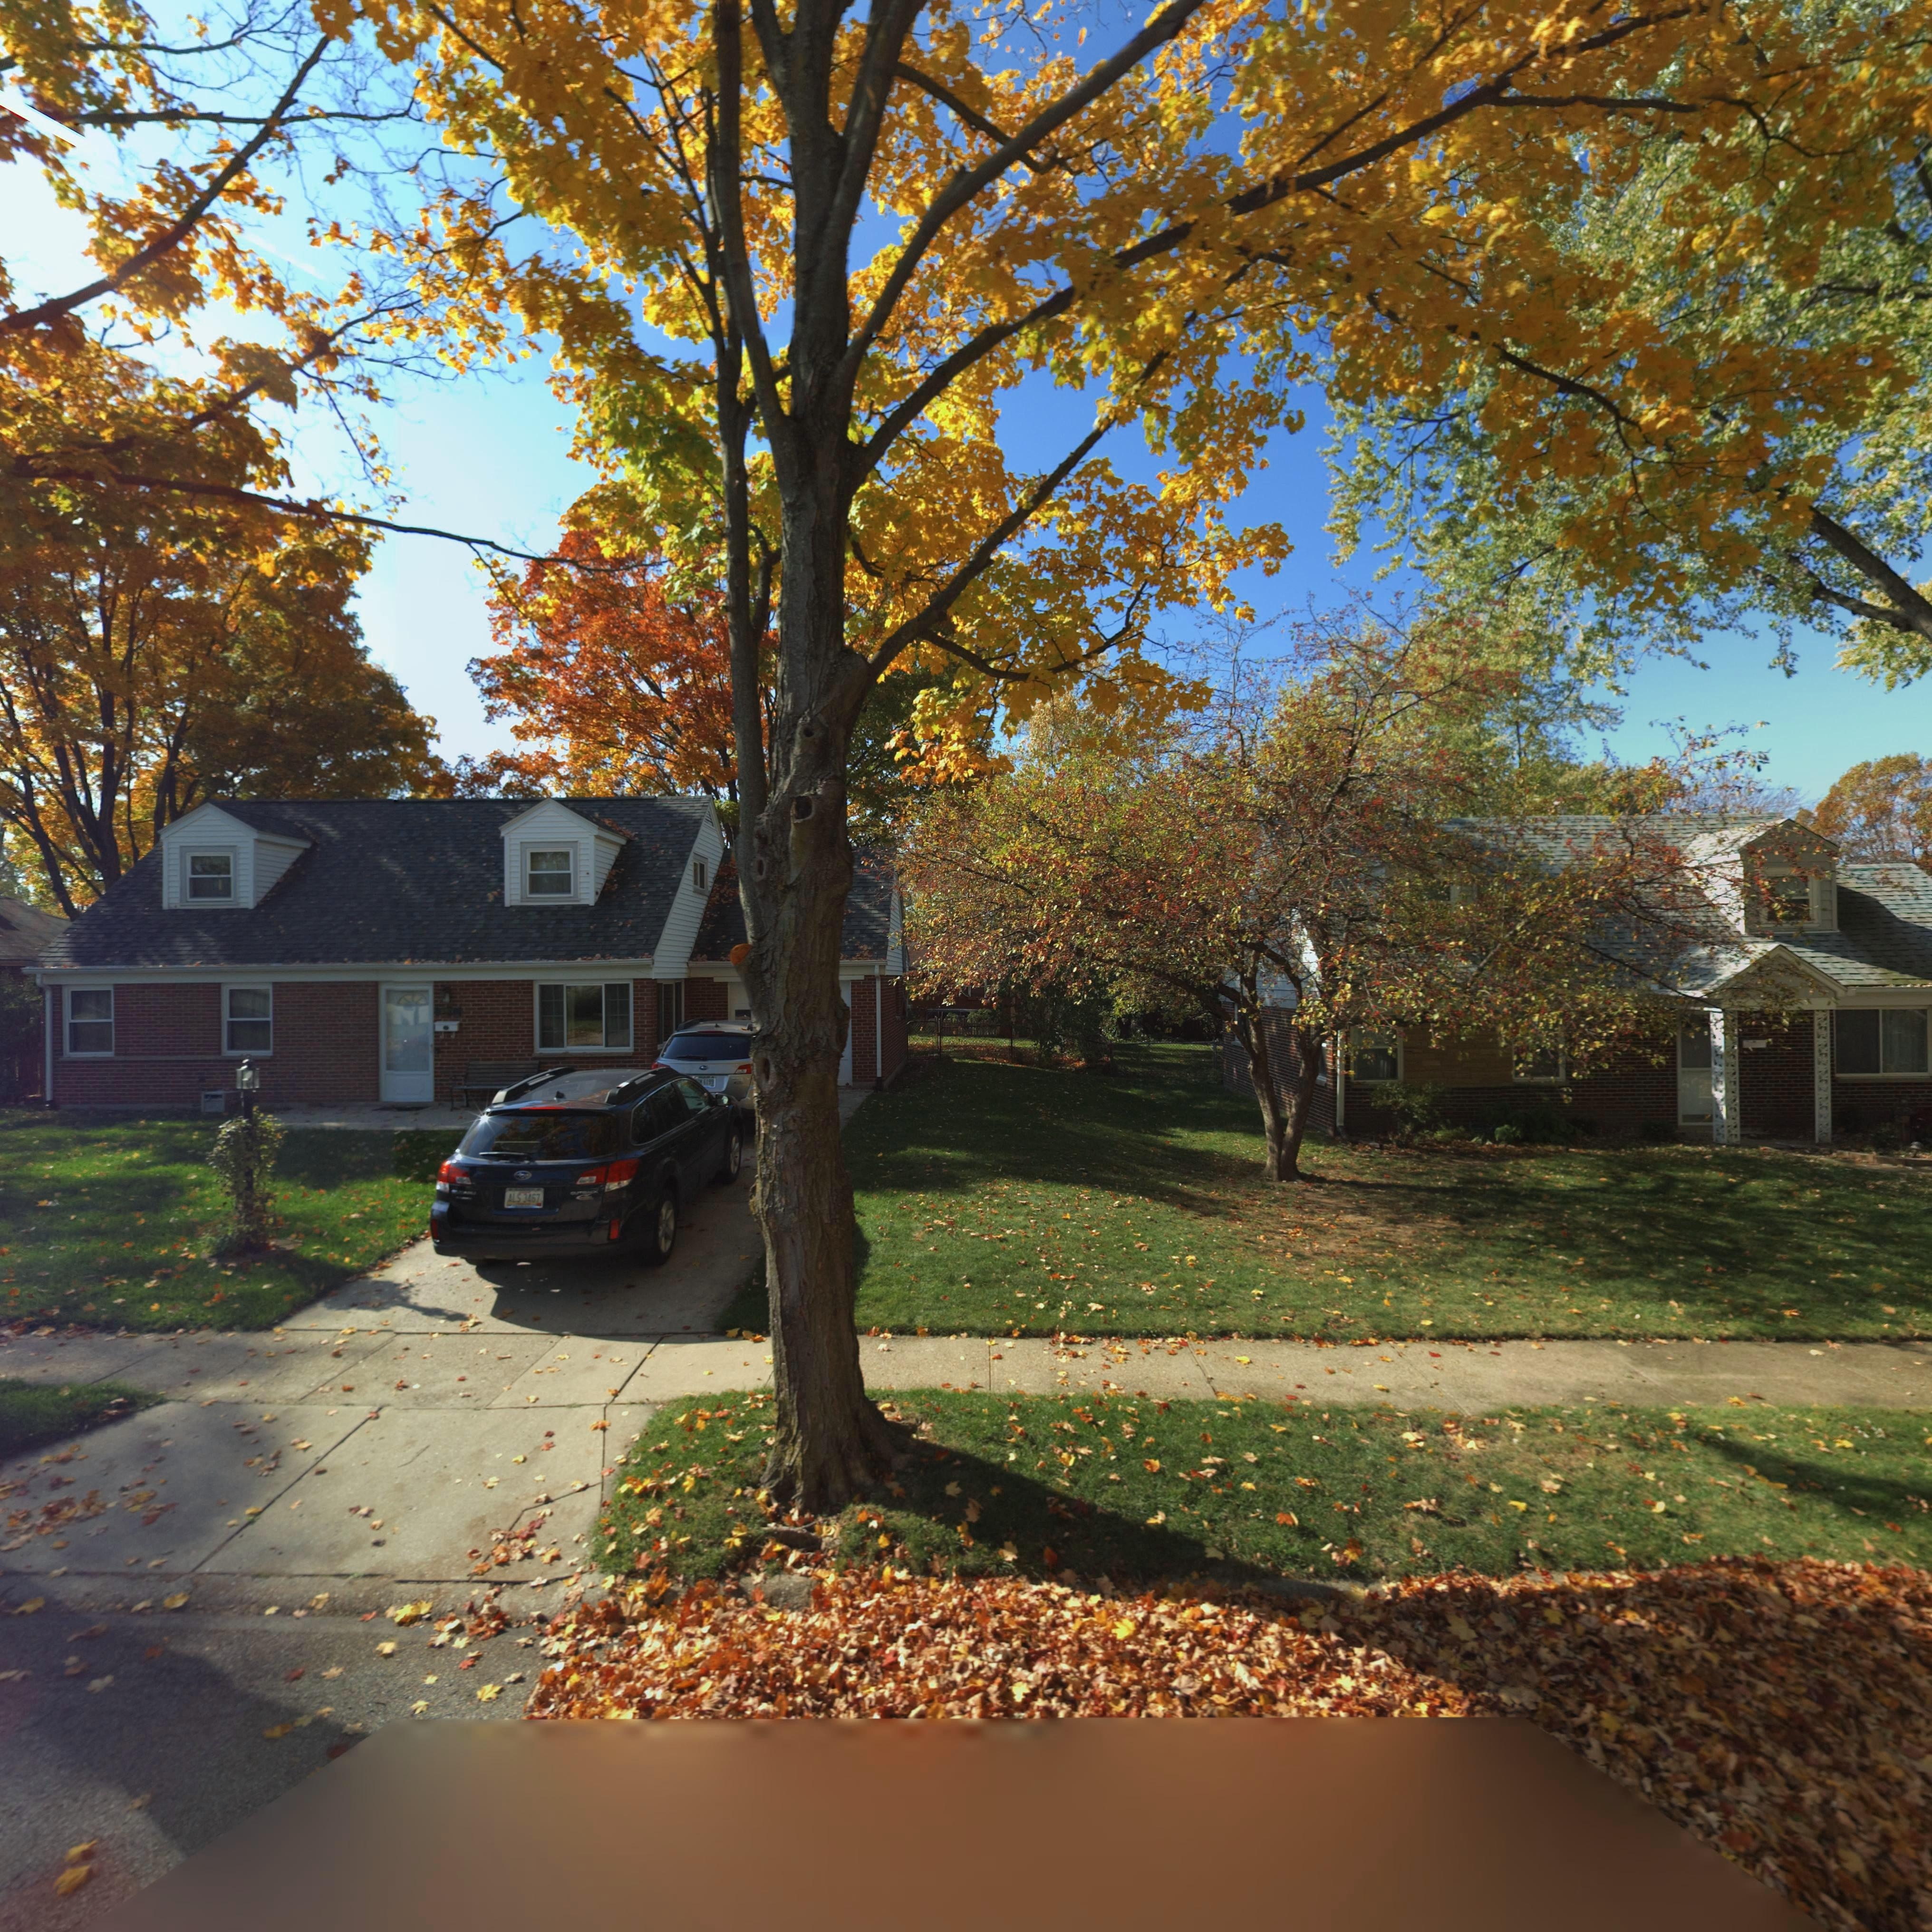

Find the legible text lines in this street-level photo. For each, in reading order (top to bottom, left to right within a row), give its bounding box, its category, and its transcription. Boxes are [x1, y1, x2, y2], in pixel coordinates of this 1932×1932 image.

[506, 1191, 542, 1205] None: ALS 3467